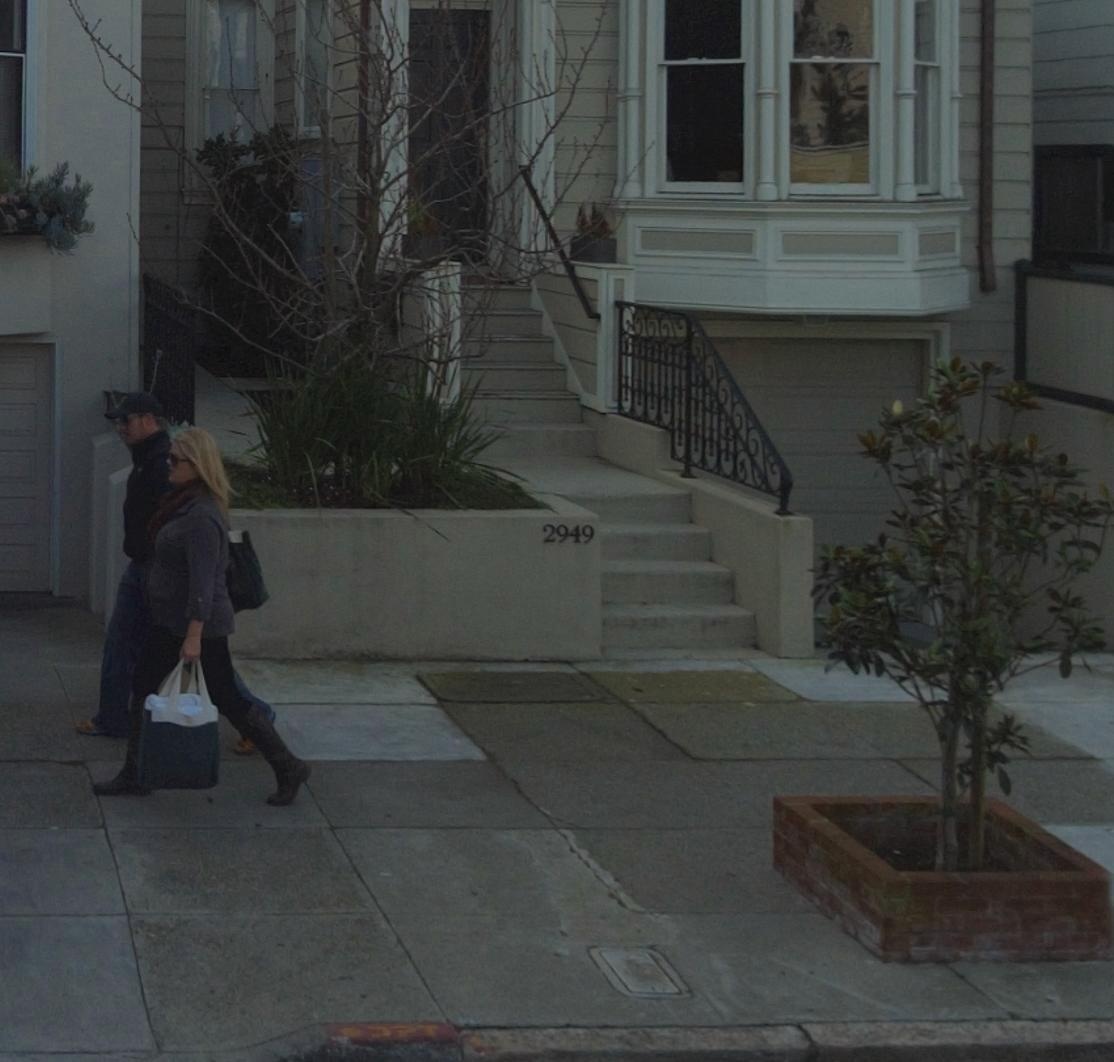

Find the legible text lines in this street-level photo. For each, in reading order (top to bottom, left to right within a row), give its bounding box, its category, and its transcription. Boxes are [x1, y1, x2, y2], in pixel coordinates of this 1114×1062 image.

[540, 522, 597, 545] StreetNumber: 2949